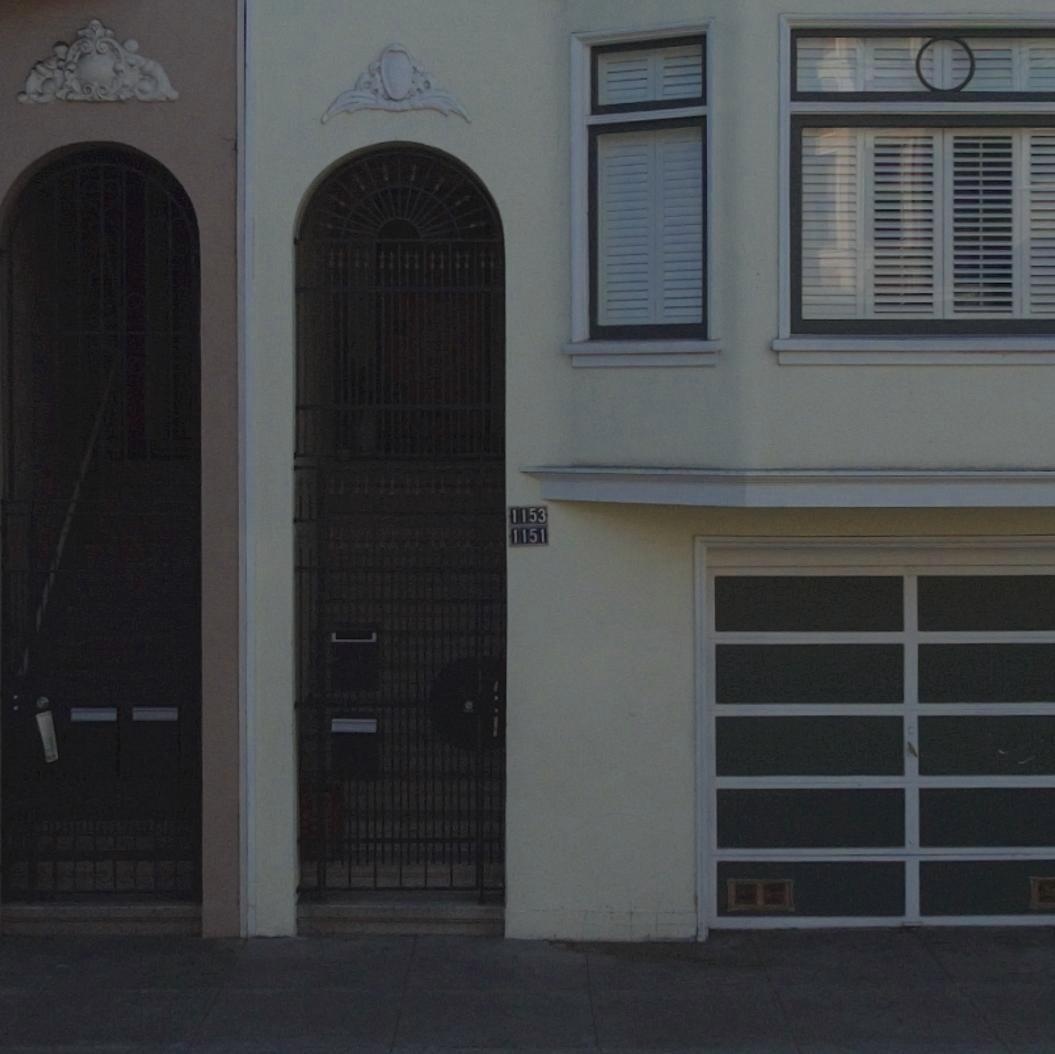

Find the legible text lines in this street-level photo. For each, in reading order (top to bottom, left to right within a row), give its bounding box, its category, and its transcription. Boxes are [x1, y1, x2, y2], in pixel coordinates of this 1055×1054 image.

[510, 506, 548, 524] StreetNumber: 1153
[510, 526, 548, 547] StreetNumber: 1151